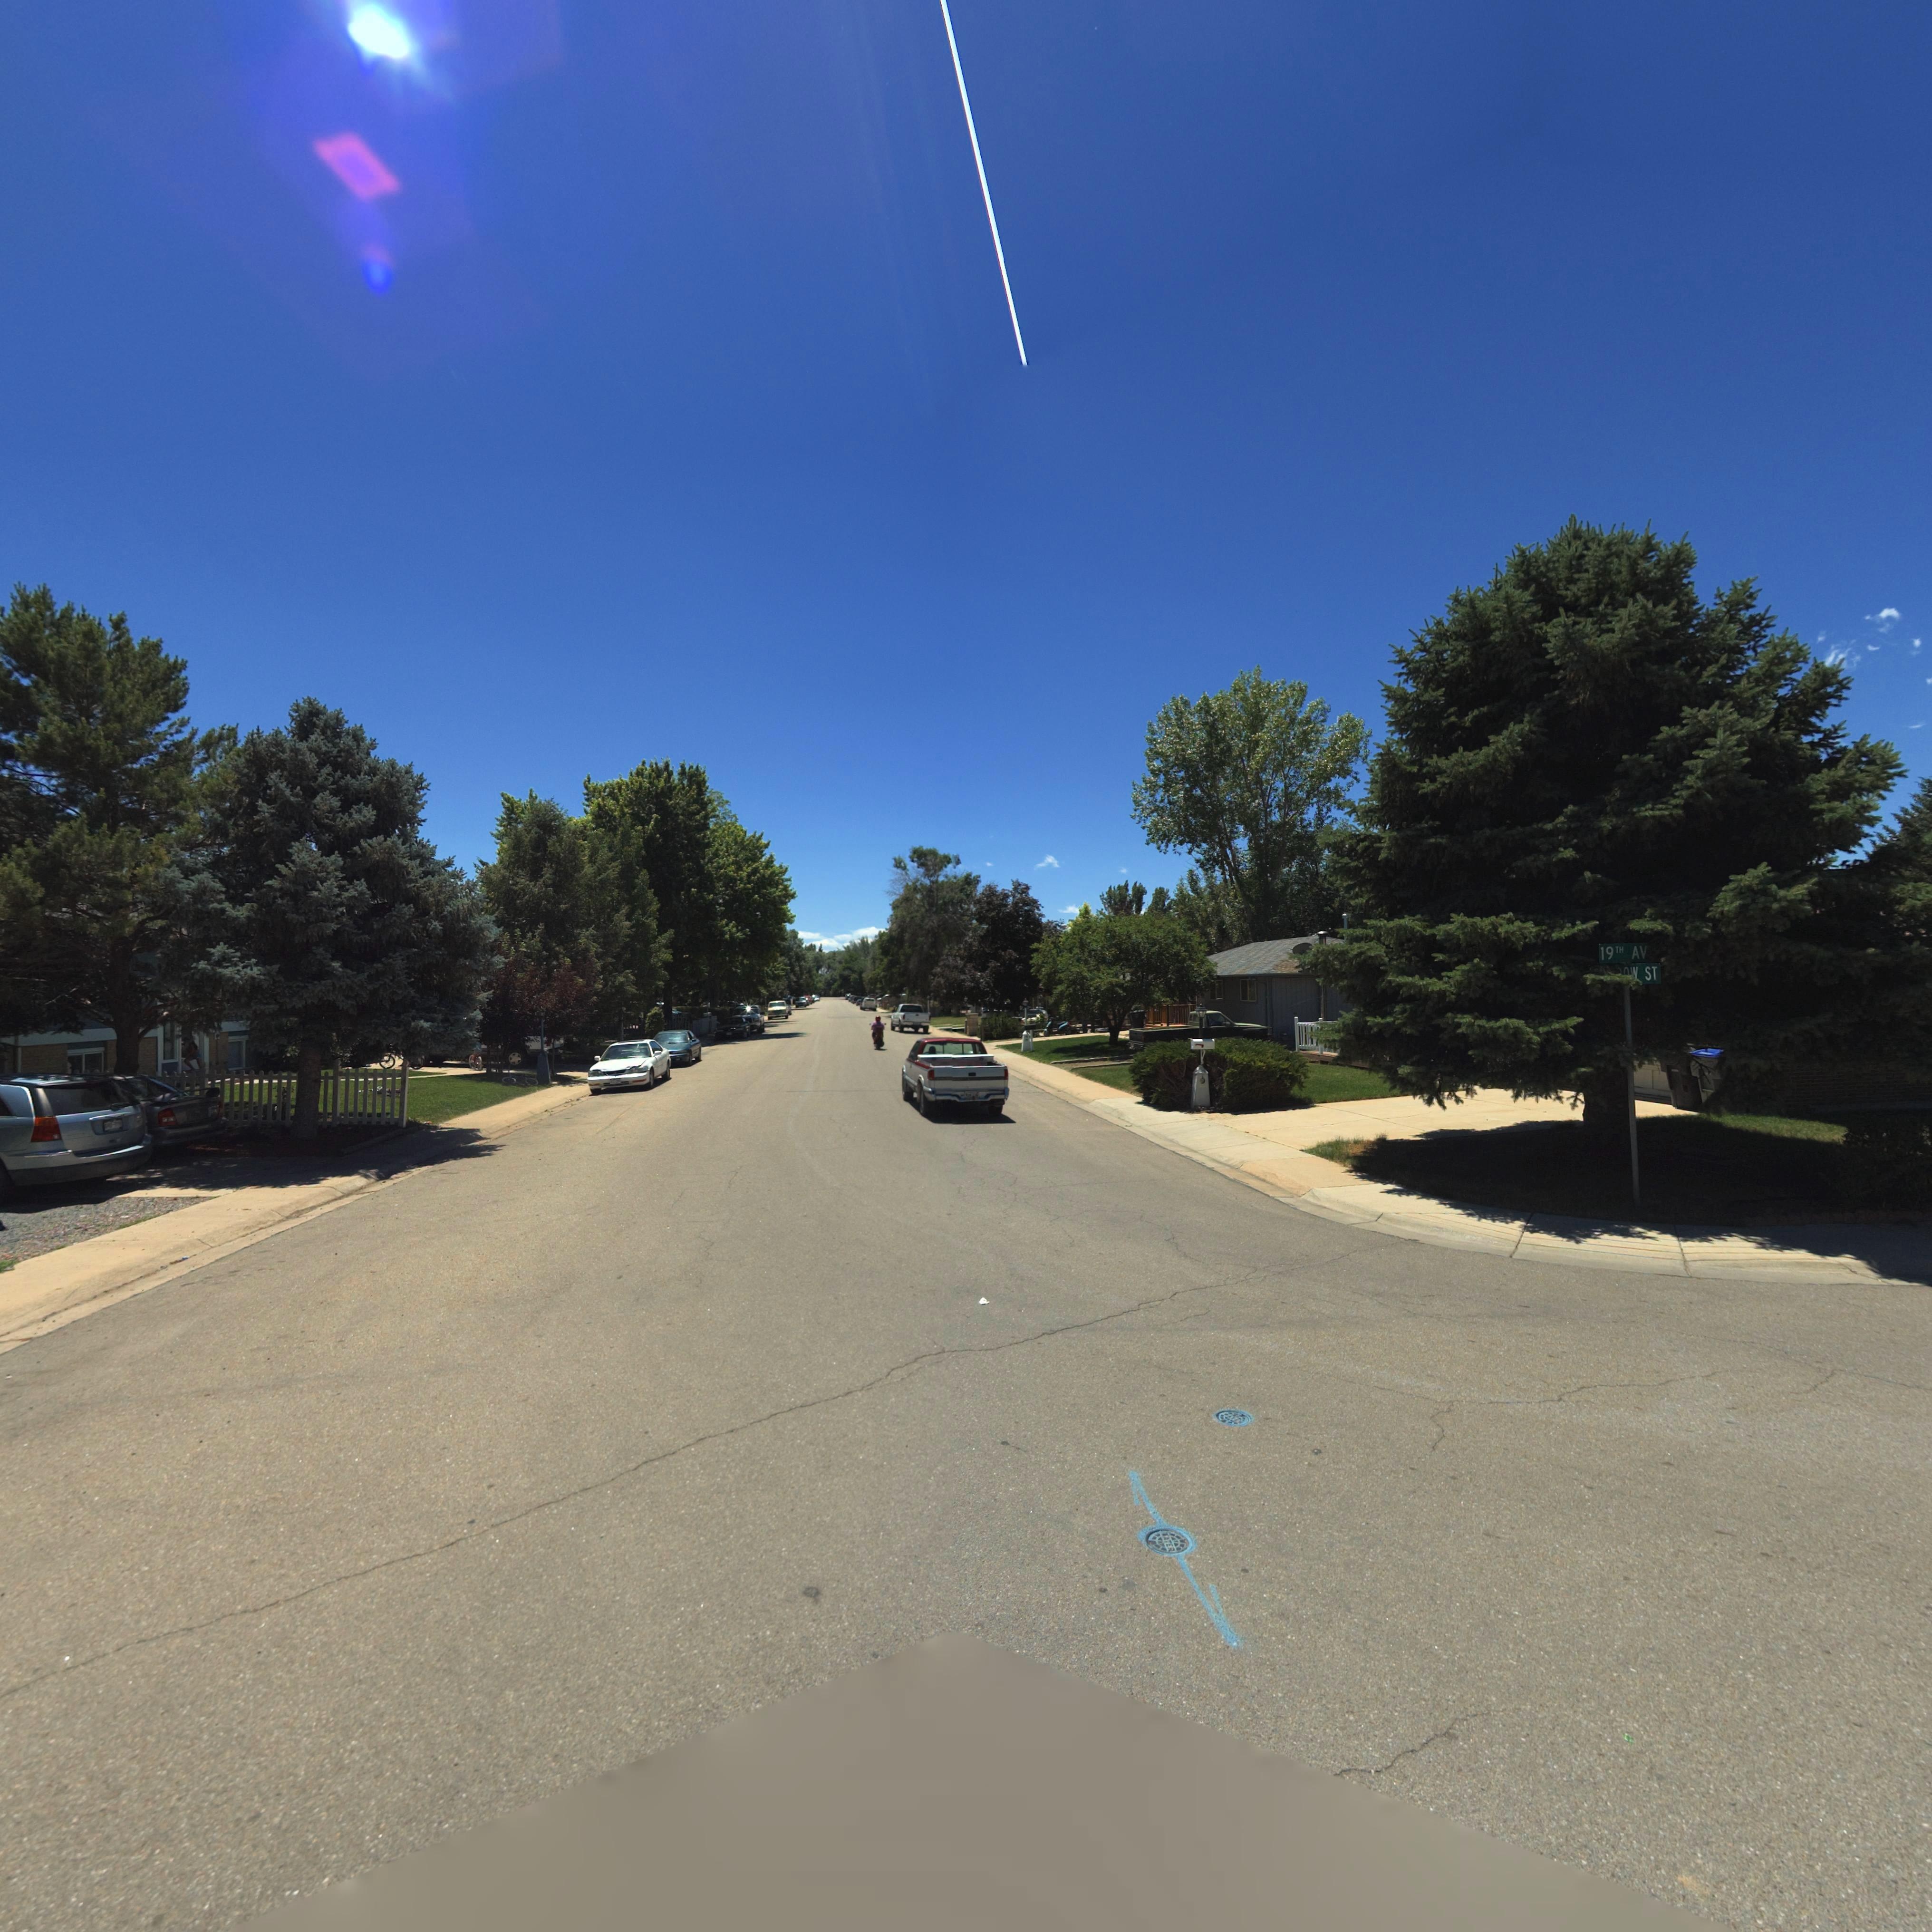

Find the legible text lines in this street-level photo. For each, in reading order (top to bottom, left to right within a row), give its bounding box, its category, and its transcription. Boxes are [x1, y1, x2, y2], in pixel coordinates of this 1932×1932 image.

[1601, 944, 1649, 961] StreetName: 19TH AV
[1644, 965, 1658, 981] StreetName: ST